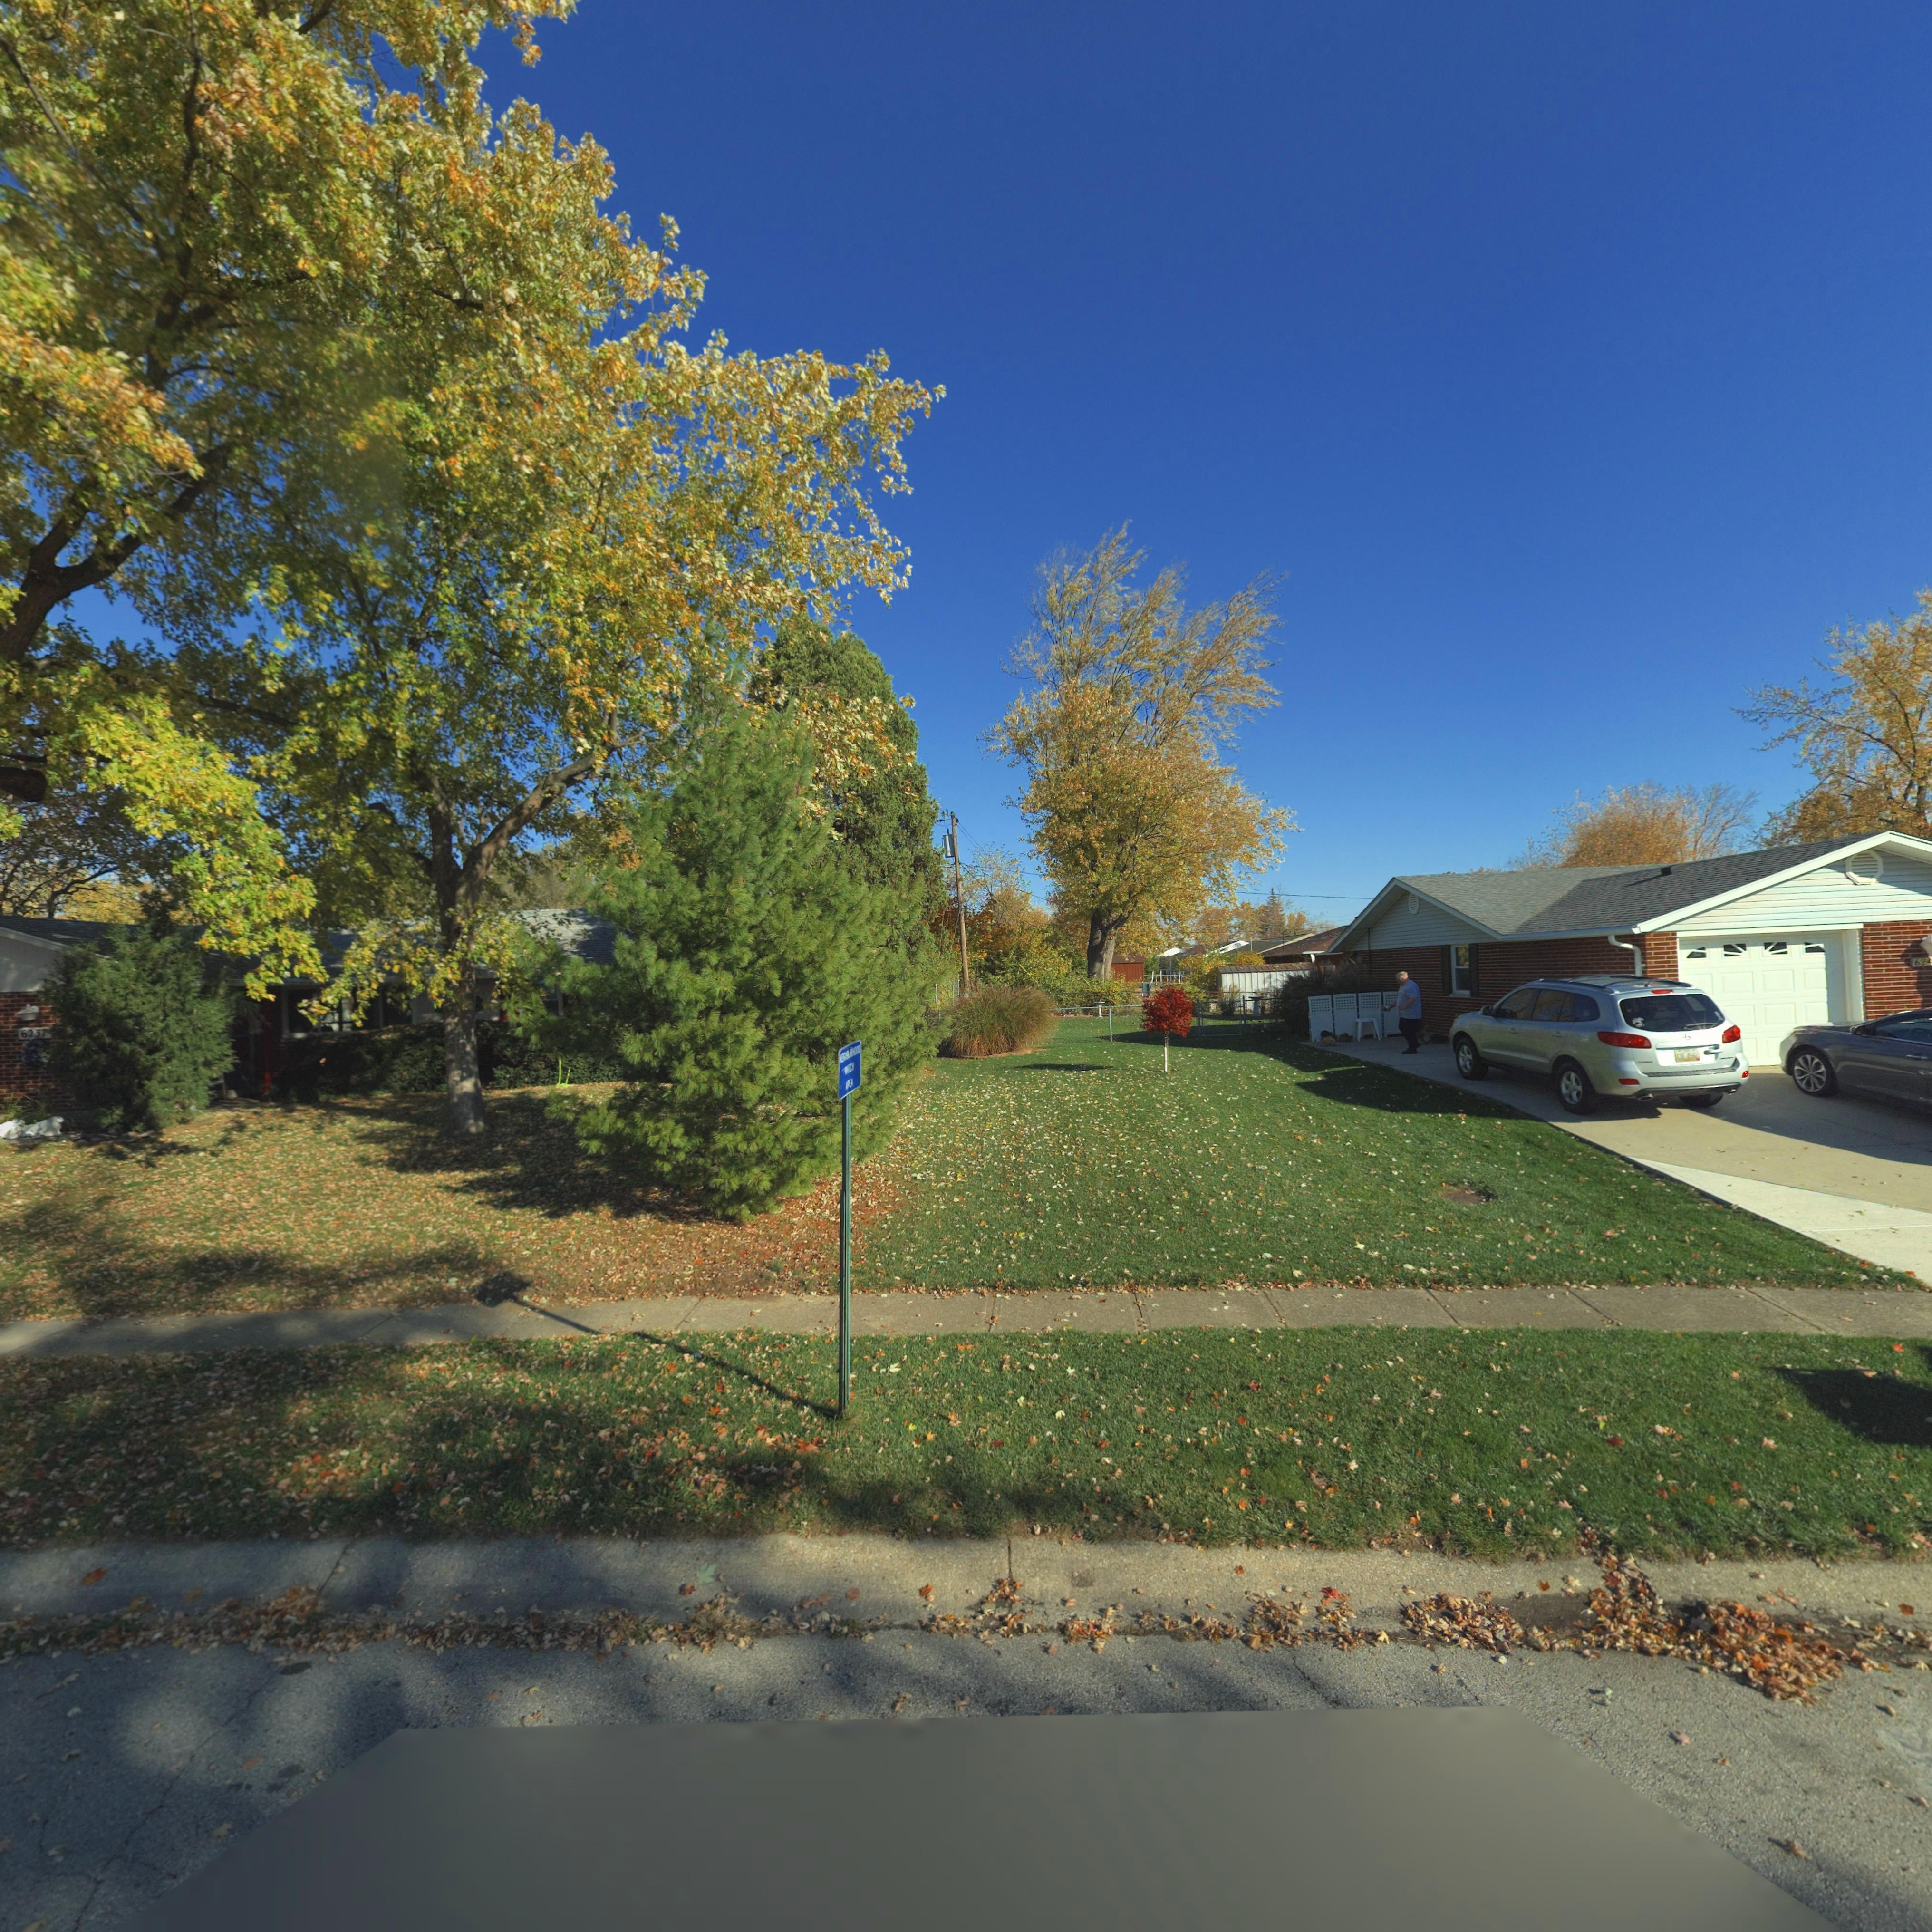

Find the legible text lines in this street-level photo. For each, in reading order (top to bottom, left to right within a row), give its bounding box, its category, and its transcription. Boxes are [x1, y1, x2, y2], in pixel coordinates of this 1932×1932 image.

[1914, 957, 1932, 966] StreetNumber: 624
[20, 1028, 49, 1039] StreetNumber: 6237